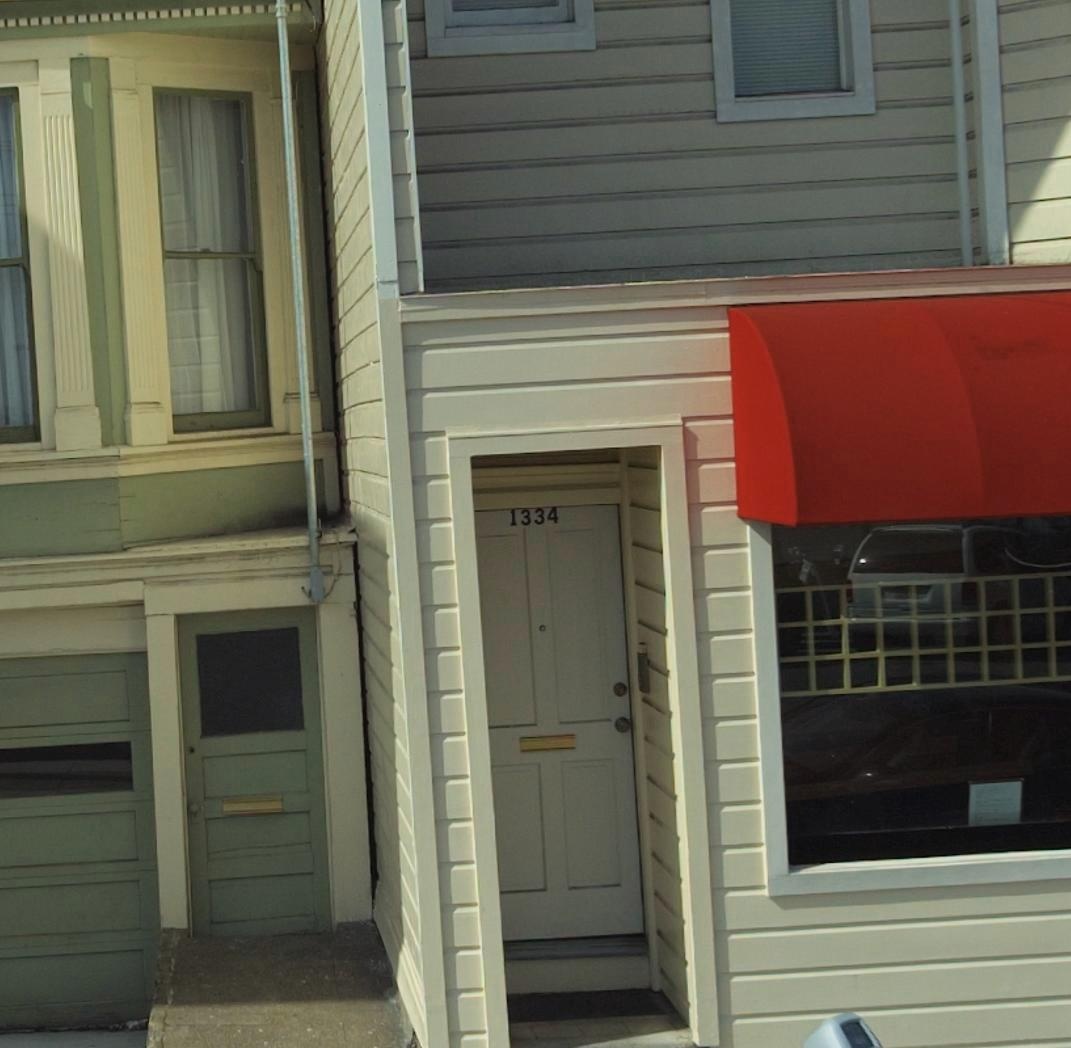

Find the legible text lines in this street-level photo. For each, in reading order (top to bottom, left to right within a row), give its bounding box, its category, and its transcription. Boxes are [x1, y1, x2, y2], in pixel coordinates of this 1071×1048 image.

[506, 506, 560, 528] StreetNumber: 1334